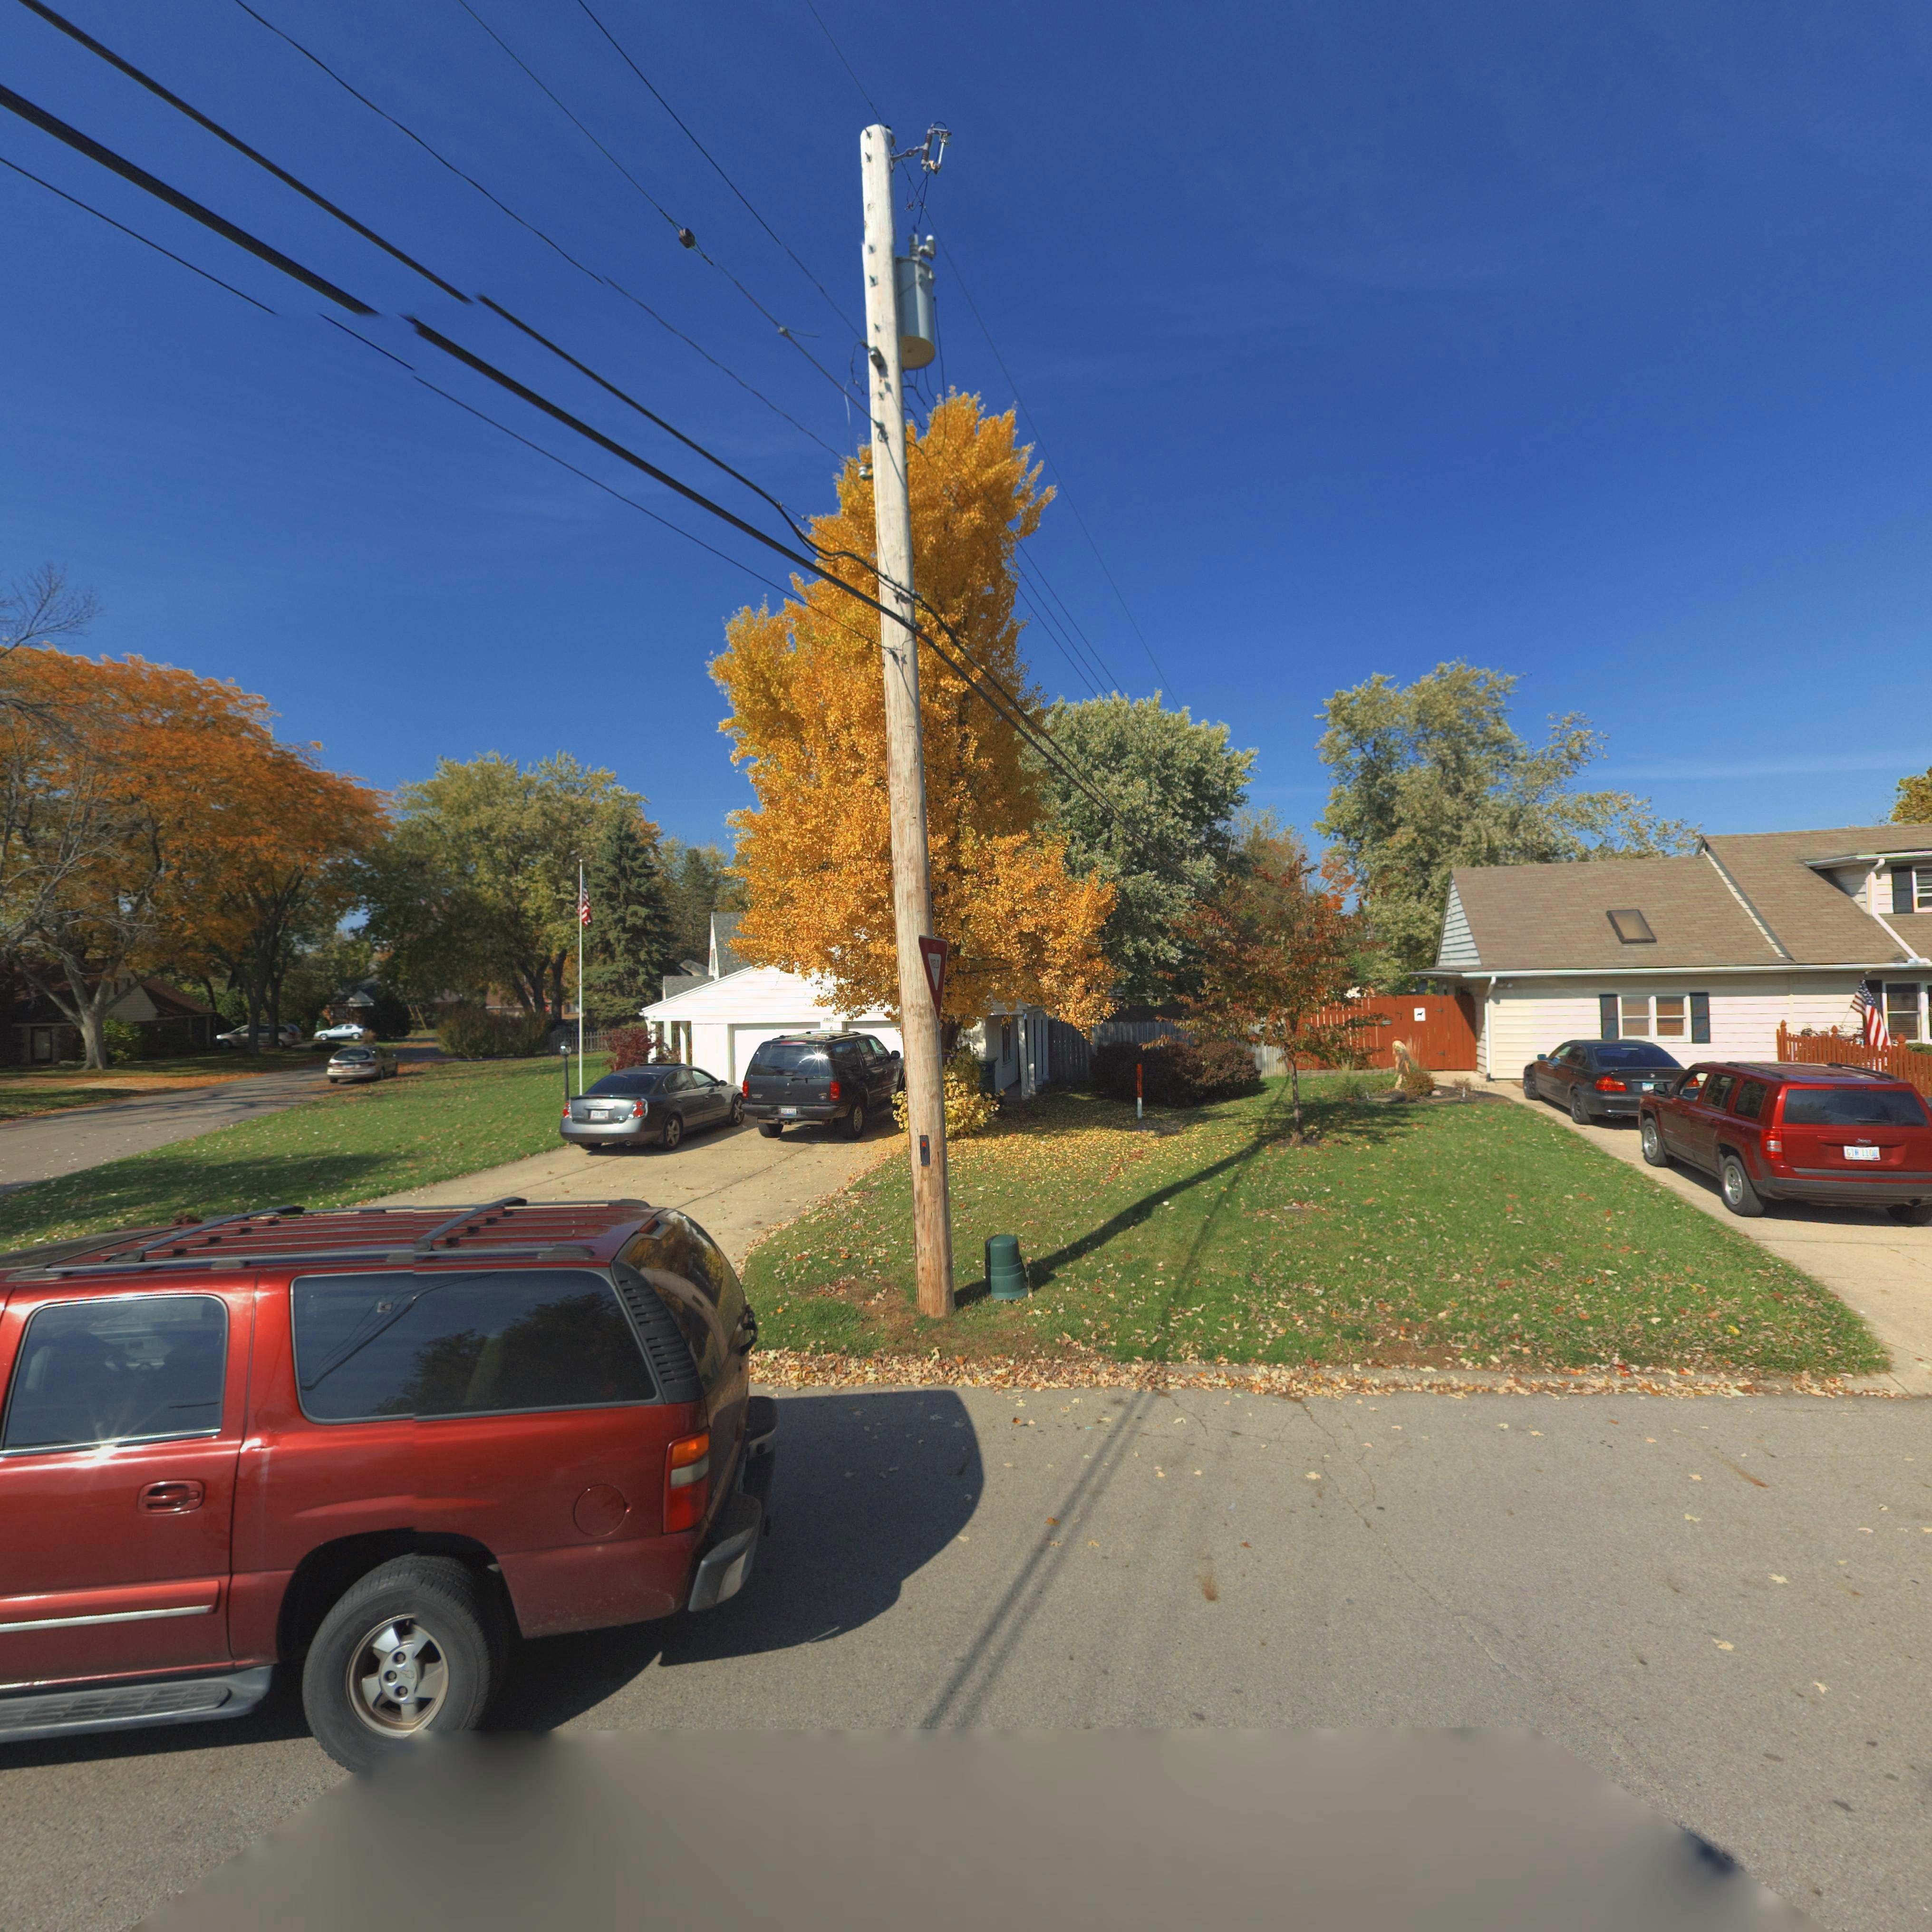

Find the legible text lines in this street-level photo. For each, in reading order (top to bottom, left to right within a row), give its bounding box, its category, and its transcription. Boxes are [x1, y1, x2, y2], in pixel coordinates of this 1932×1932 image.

[929, 957, 940, 970] None: YIELD